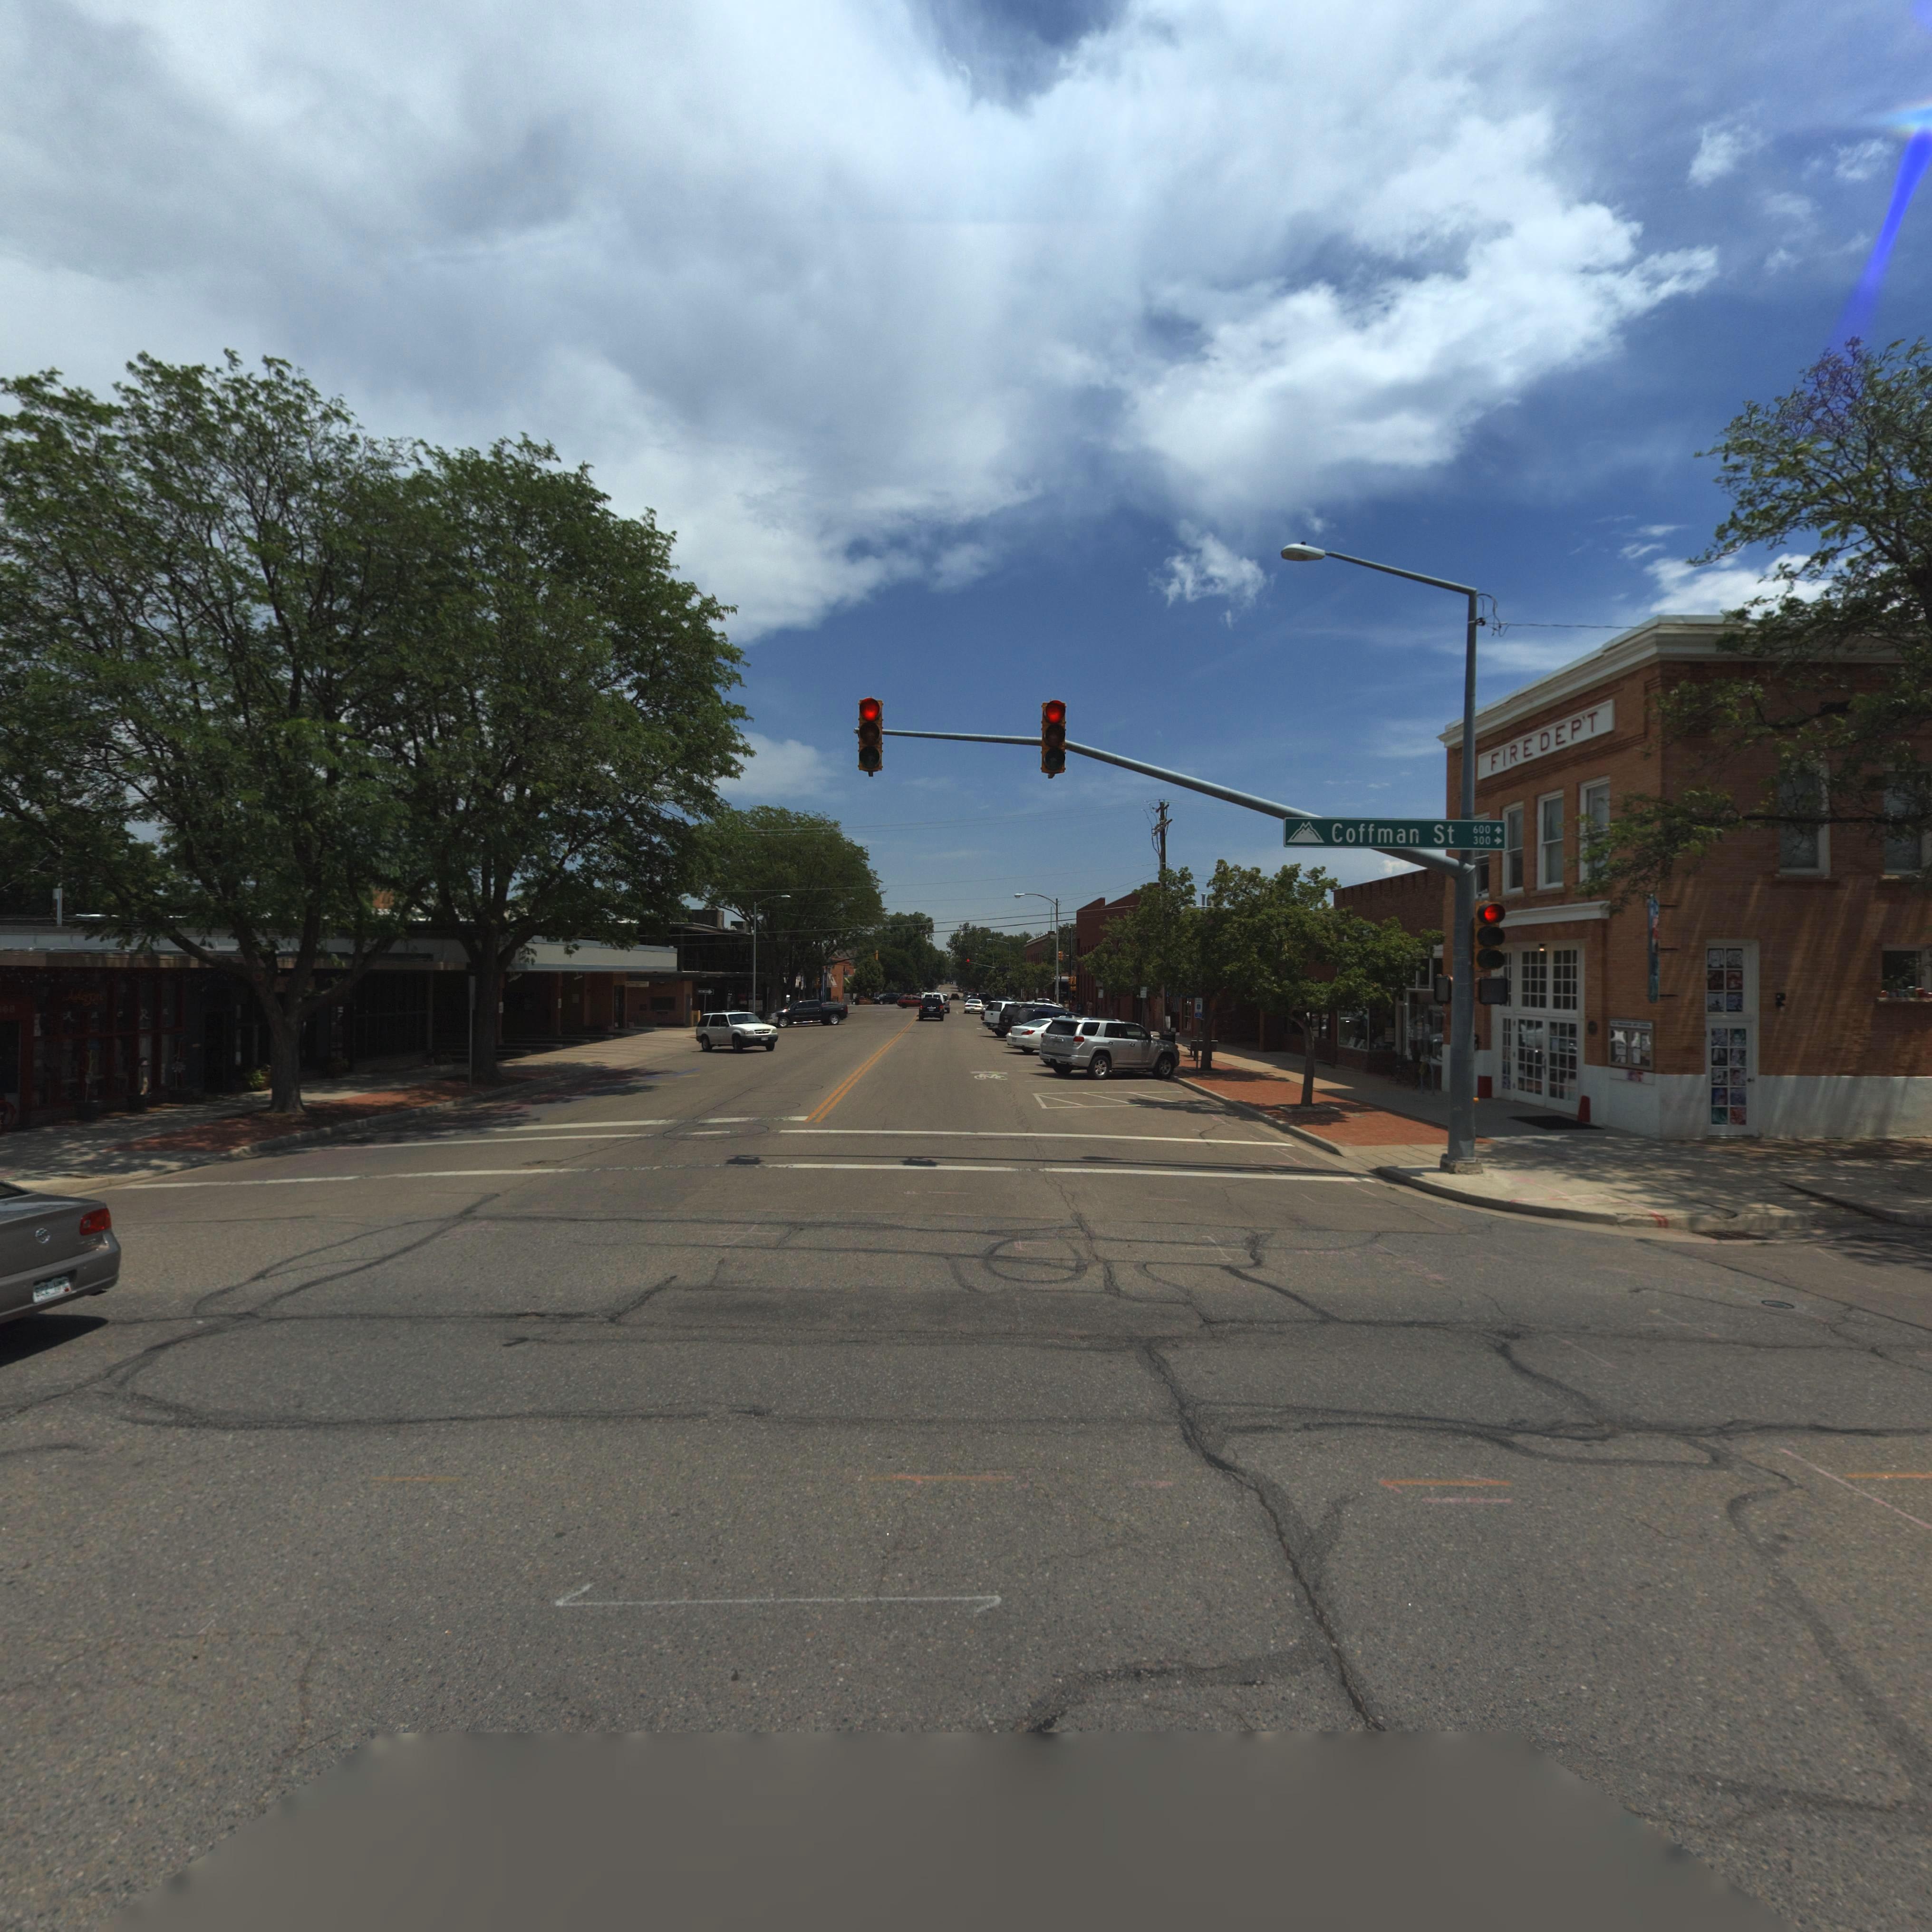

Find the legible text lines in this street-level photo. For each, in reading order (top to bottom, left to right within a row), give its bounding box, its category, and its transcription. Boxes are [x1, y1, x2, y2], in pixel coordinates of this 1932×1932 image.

[1490, 710, 1598, 772] BusinessName: FIRE DEP'T
[1332, 822, 1455, 844] StreetName: Coffman St
[1472, 825, 1490, 834] StreetNumberRange: 600
[1473, 836, 1503, 845] StreetNumberRange: 300->
[61, 987, 104, 1007] BusinessName: A****
[2, 1004, 16, 1014] StreetNumber: 68
[62, 1007, 169, 1023] BusinessName: A*oRn